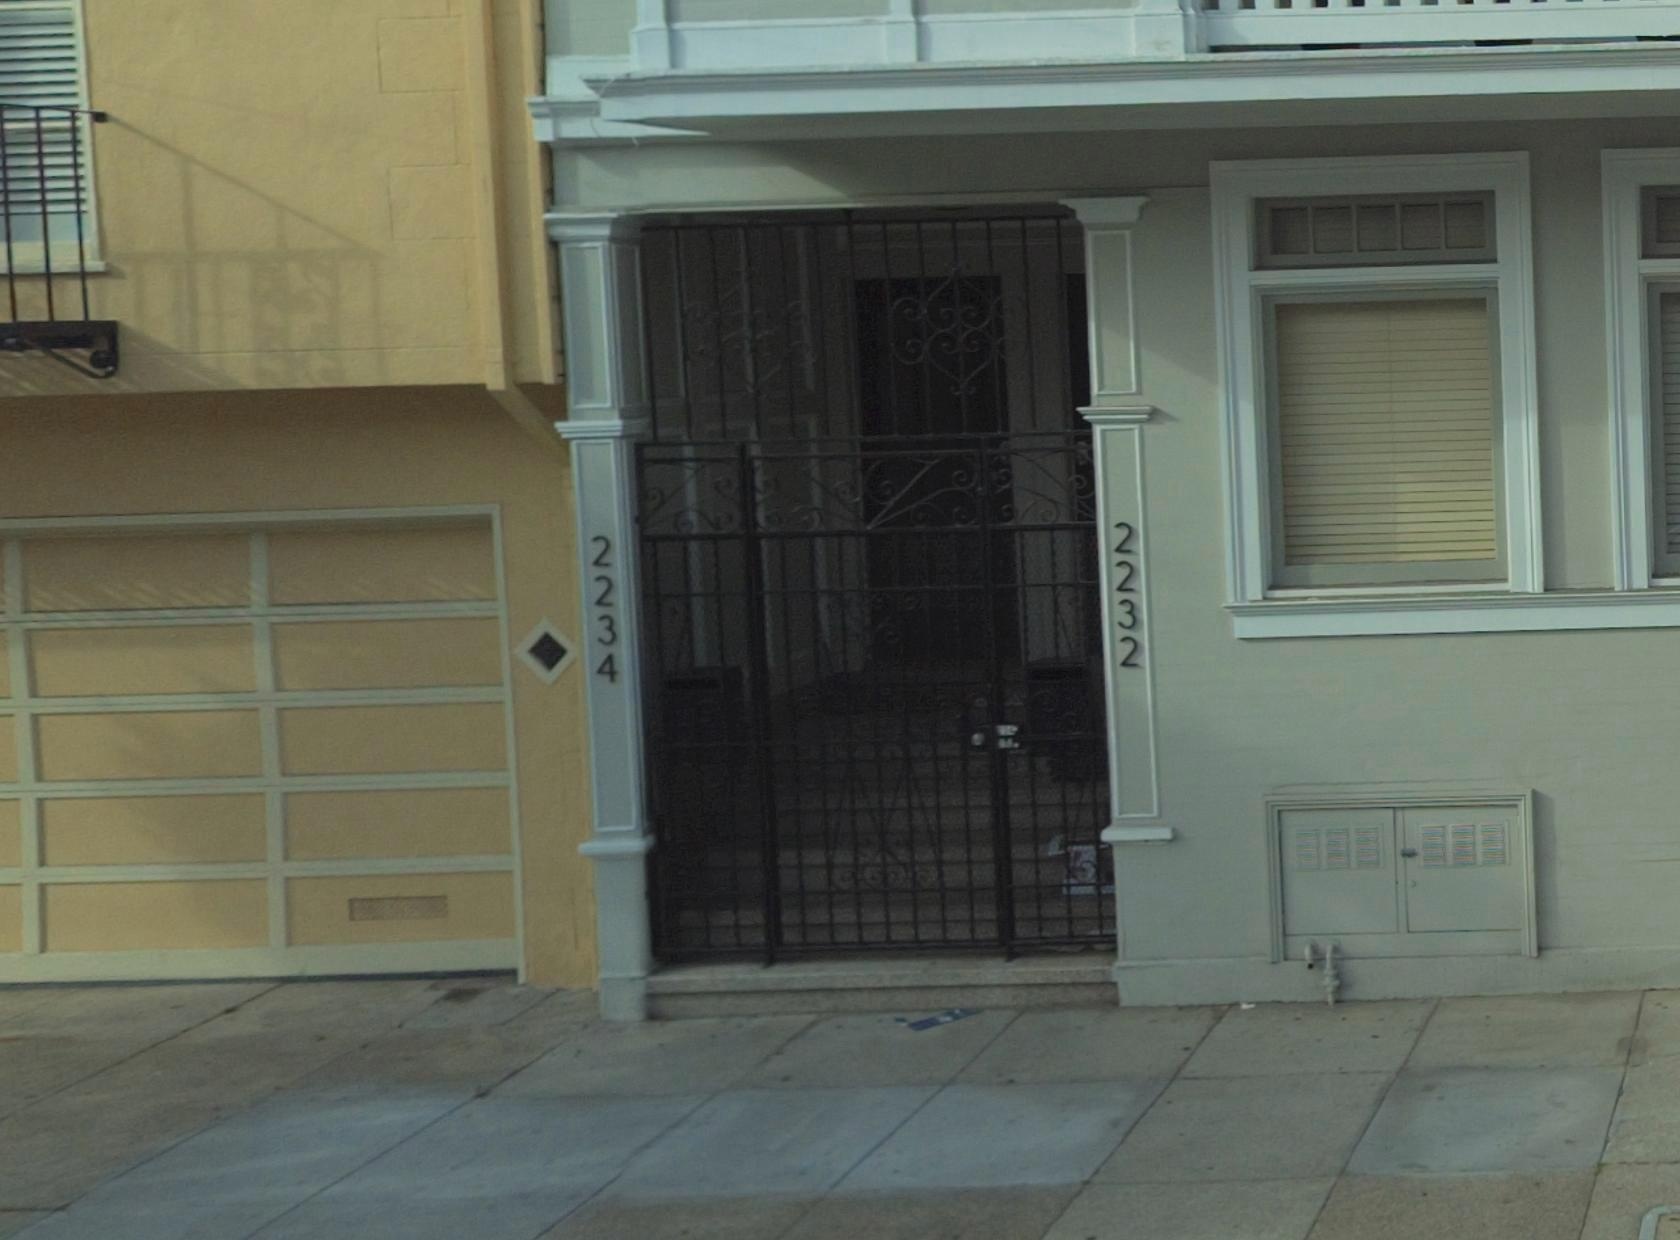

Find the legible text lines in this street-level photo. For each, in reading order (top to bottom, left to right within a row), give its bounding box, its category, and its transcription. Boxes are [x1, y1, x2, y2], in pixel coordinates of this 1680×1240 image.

[584, 531, 624, 691] StreetNumber: 2234
[1107, 518, 1145, 672] StreetNumber: 2232